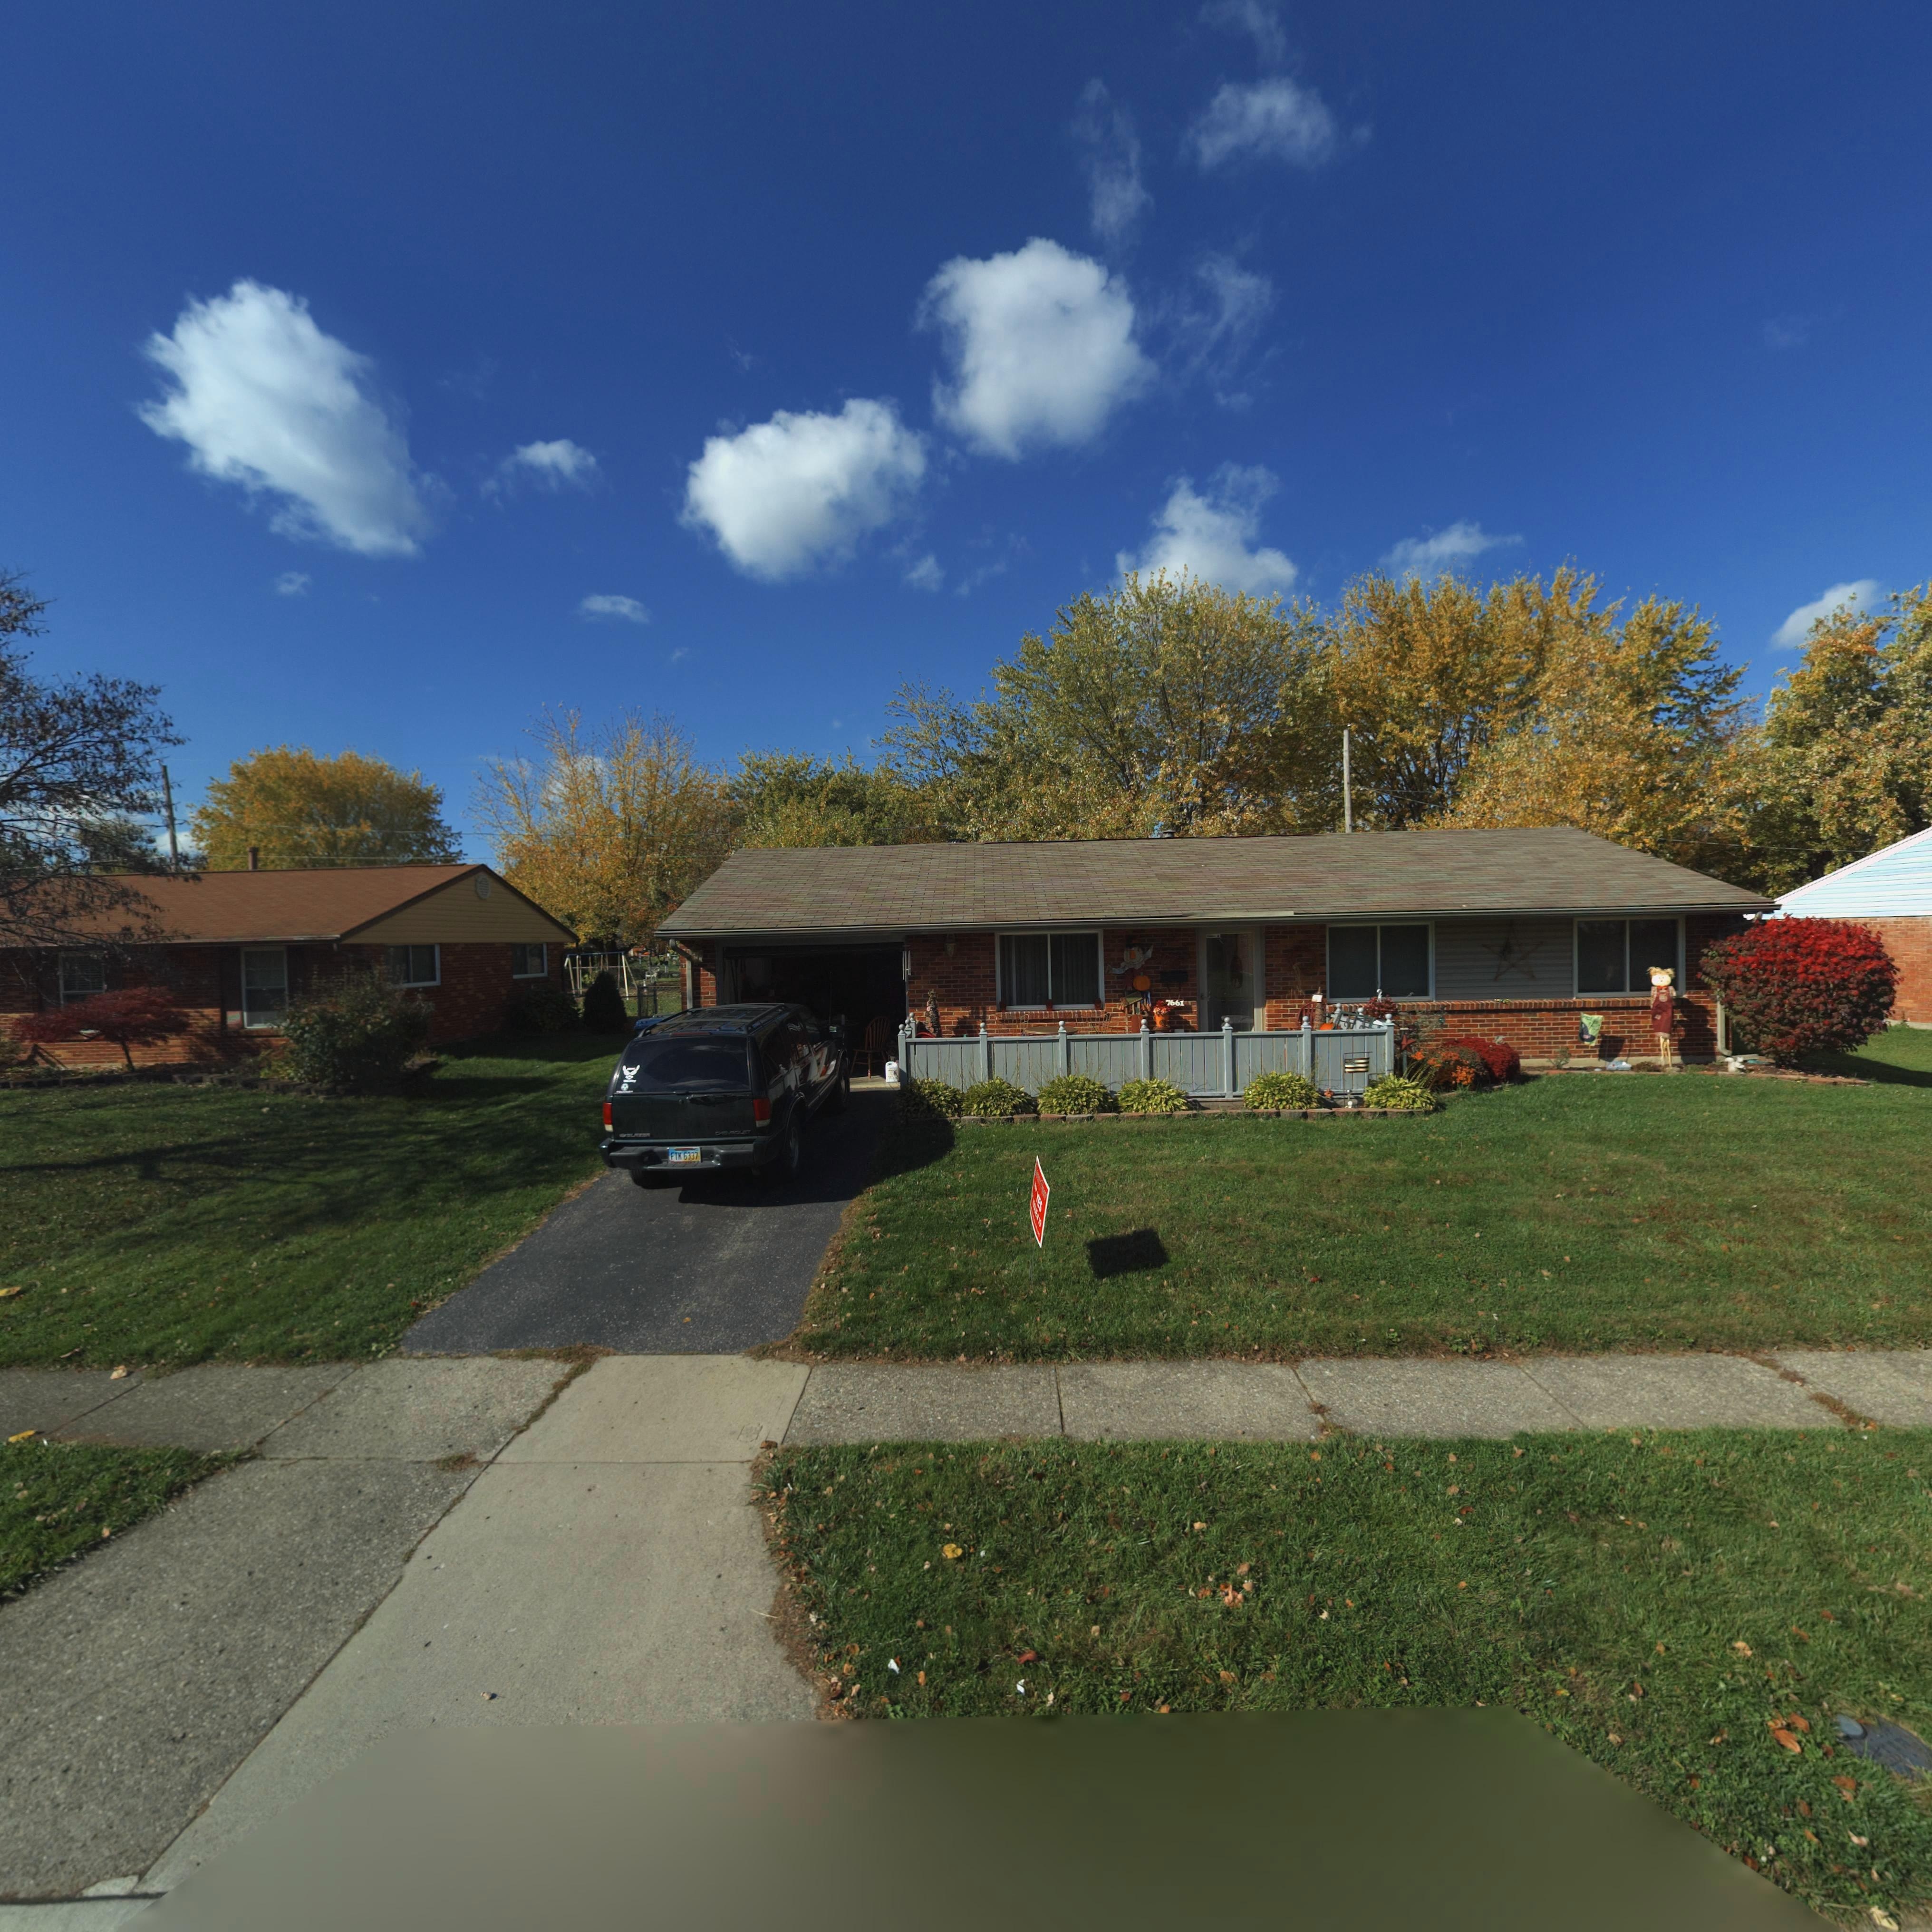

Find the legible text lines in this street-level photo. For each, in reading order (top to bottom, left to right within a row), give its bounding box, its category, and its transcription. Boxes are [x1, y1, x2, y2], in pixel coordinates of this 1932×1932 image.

[1164, 999, 1186, 1007] StreetNumber: 7661